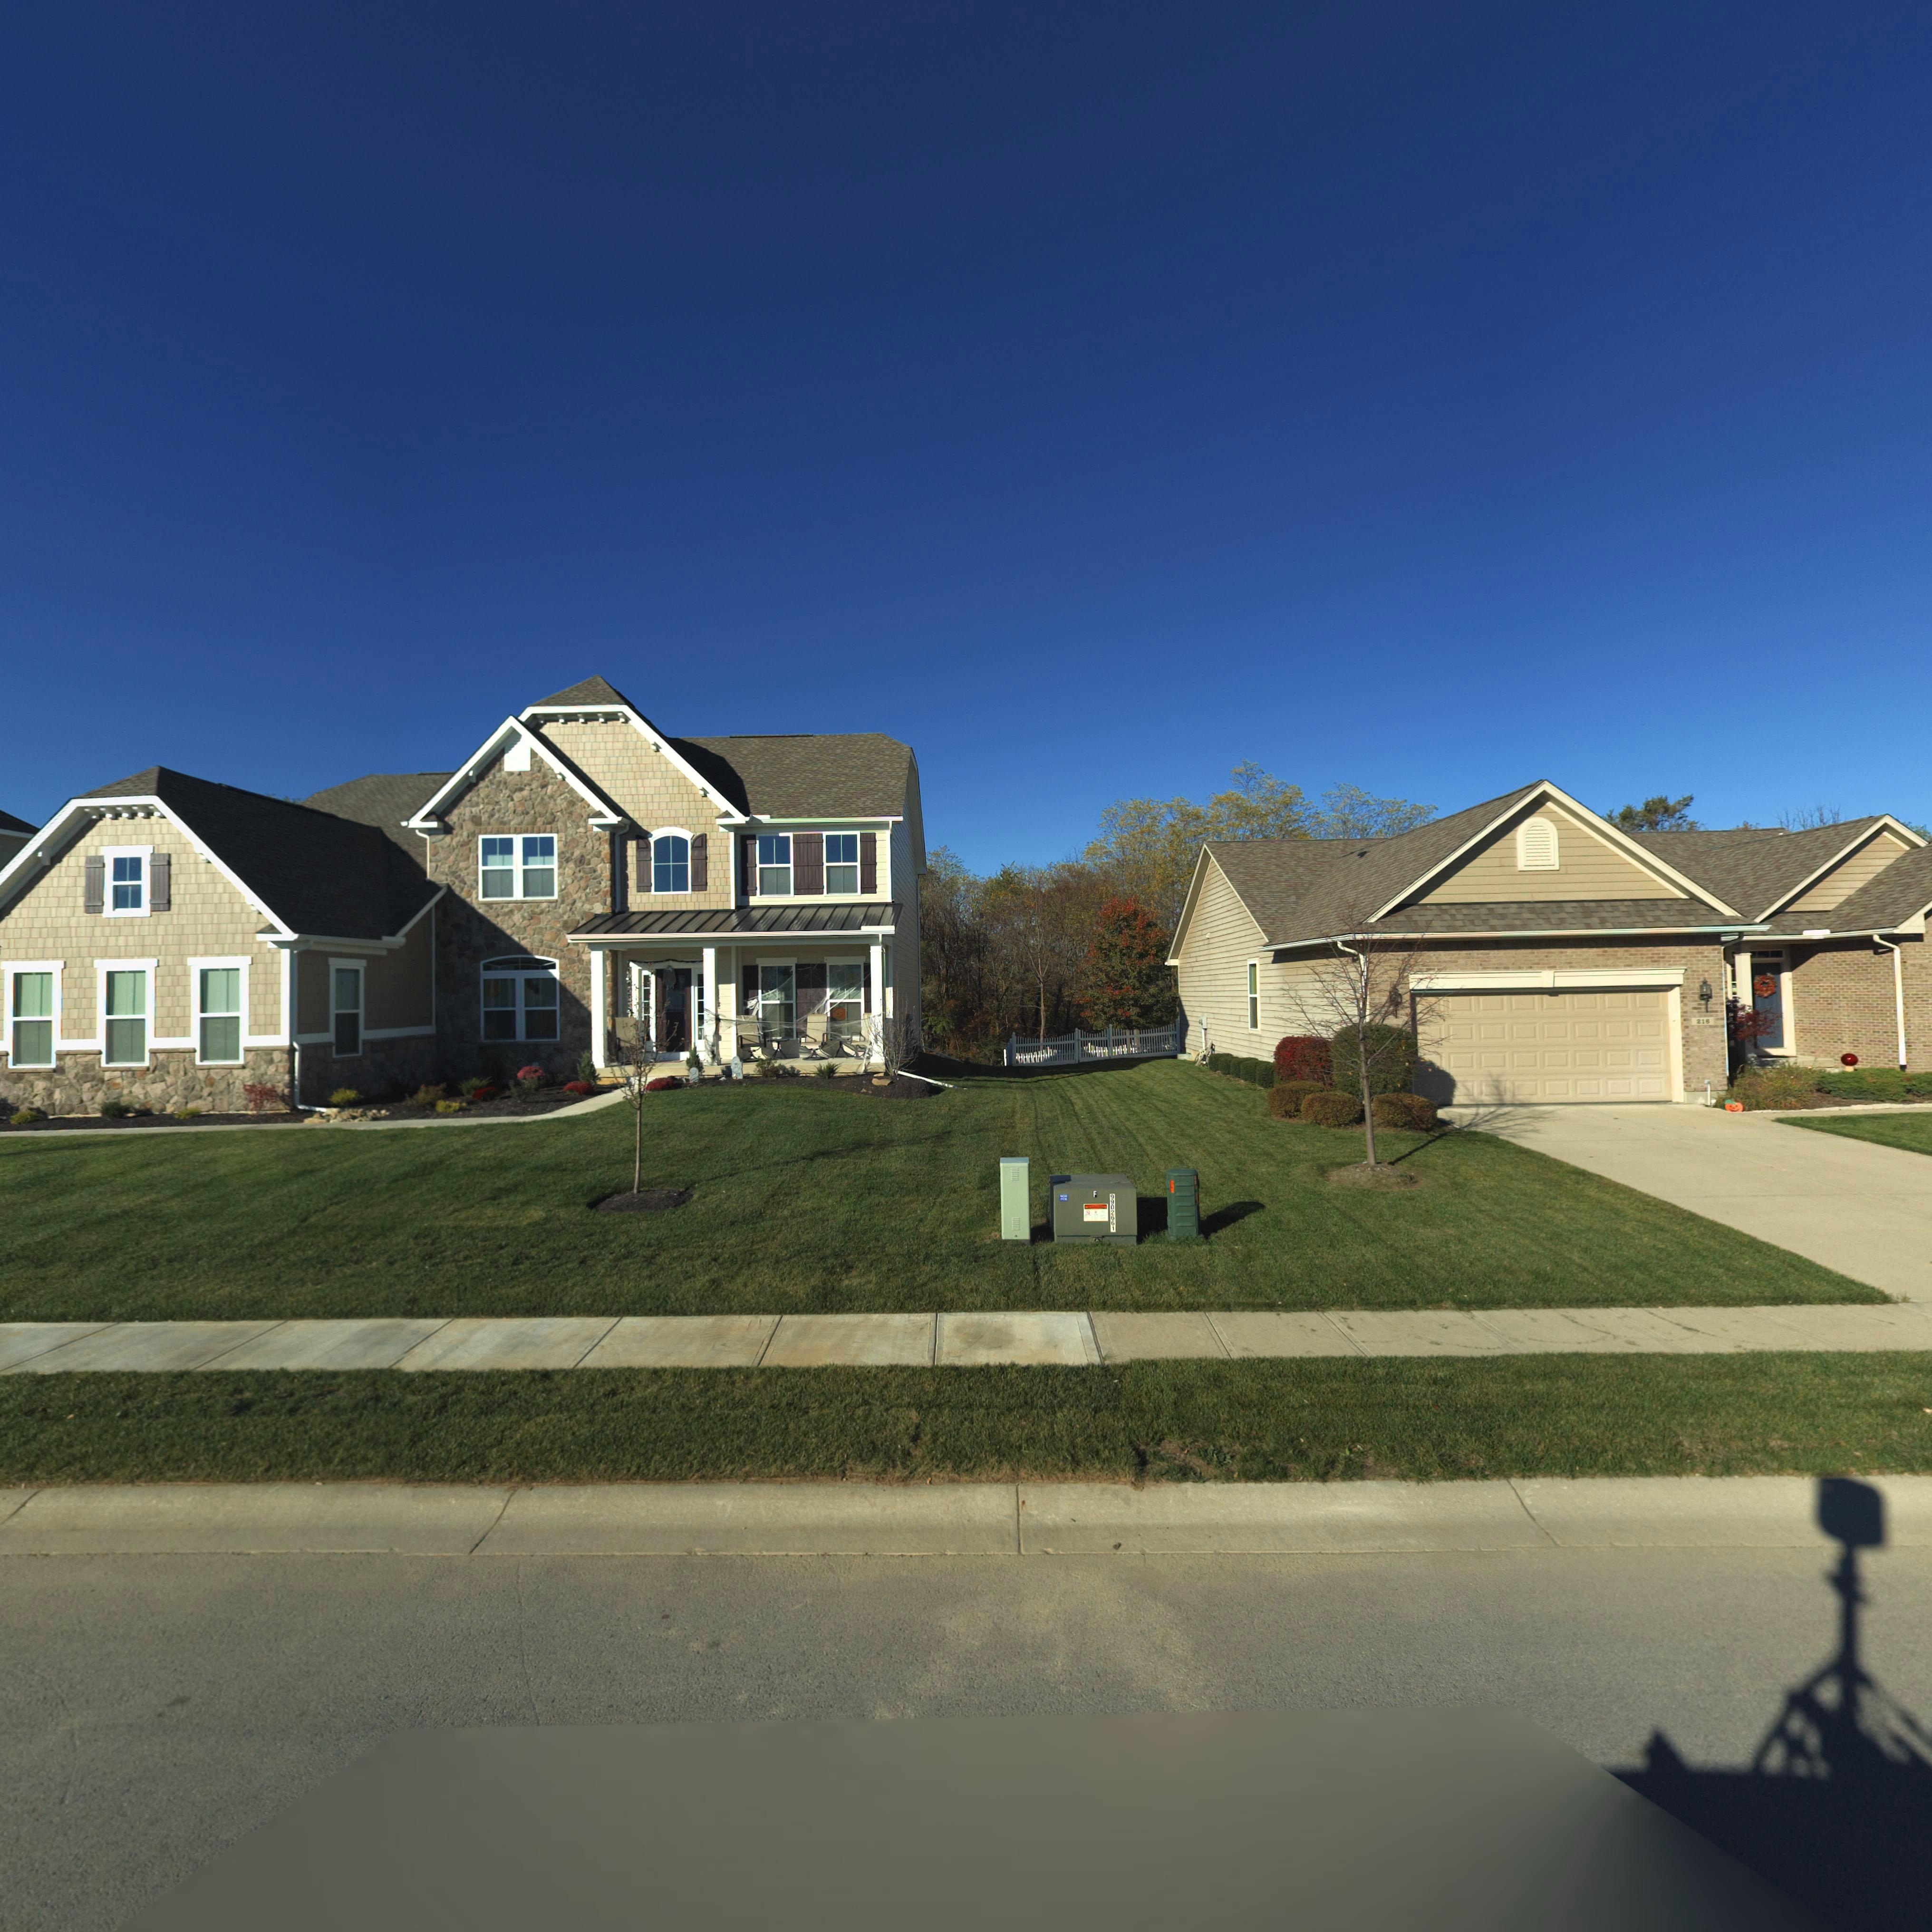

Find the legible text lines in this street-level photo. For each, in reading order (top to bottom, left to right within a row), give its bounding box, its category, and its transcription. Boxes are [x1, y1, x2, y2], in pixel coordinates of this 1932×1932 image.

[1696, 1018, 1710, 1024] StreetNumber: 21*
[1110, 1193, 1115, 1231] None: 9902661